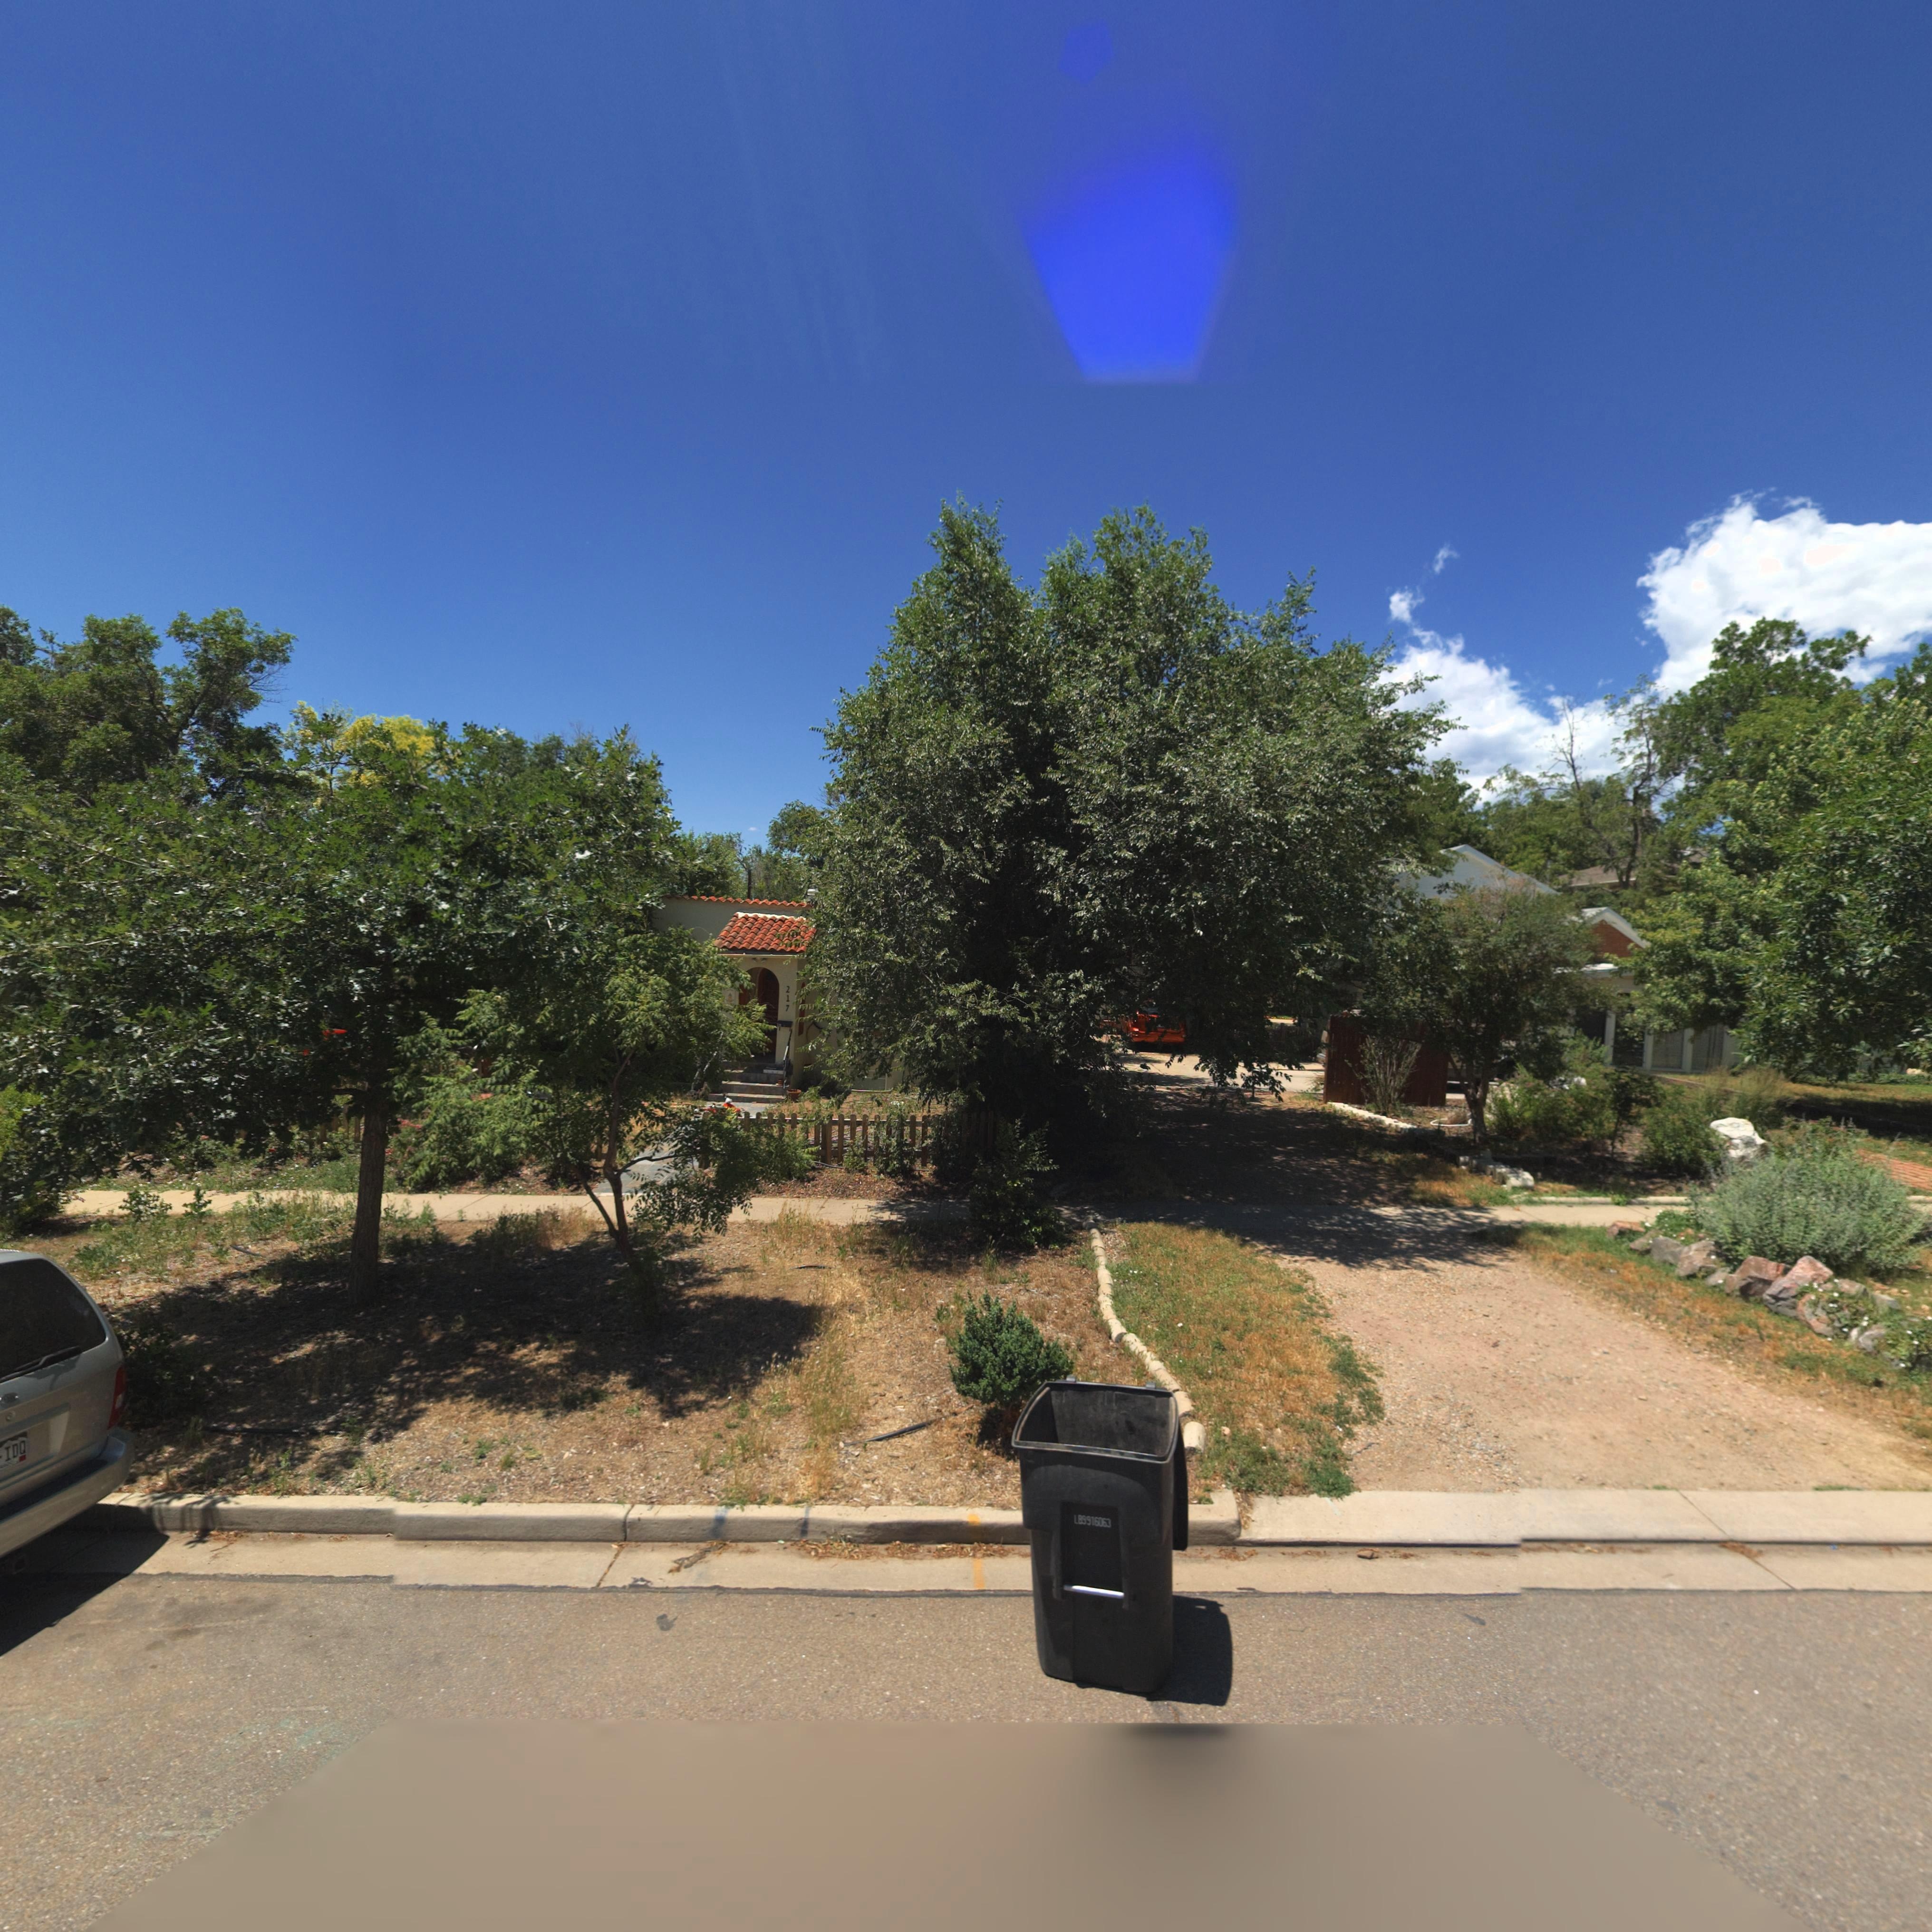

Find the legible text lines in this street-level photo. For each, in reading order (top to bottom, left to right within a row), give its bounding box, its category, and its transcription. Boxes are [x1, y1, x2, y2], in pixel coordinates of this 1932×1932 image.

[785, 985, 790, 1012] StreetNumber: 217